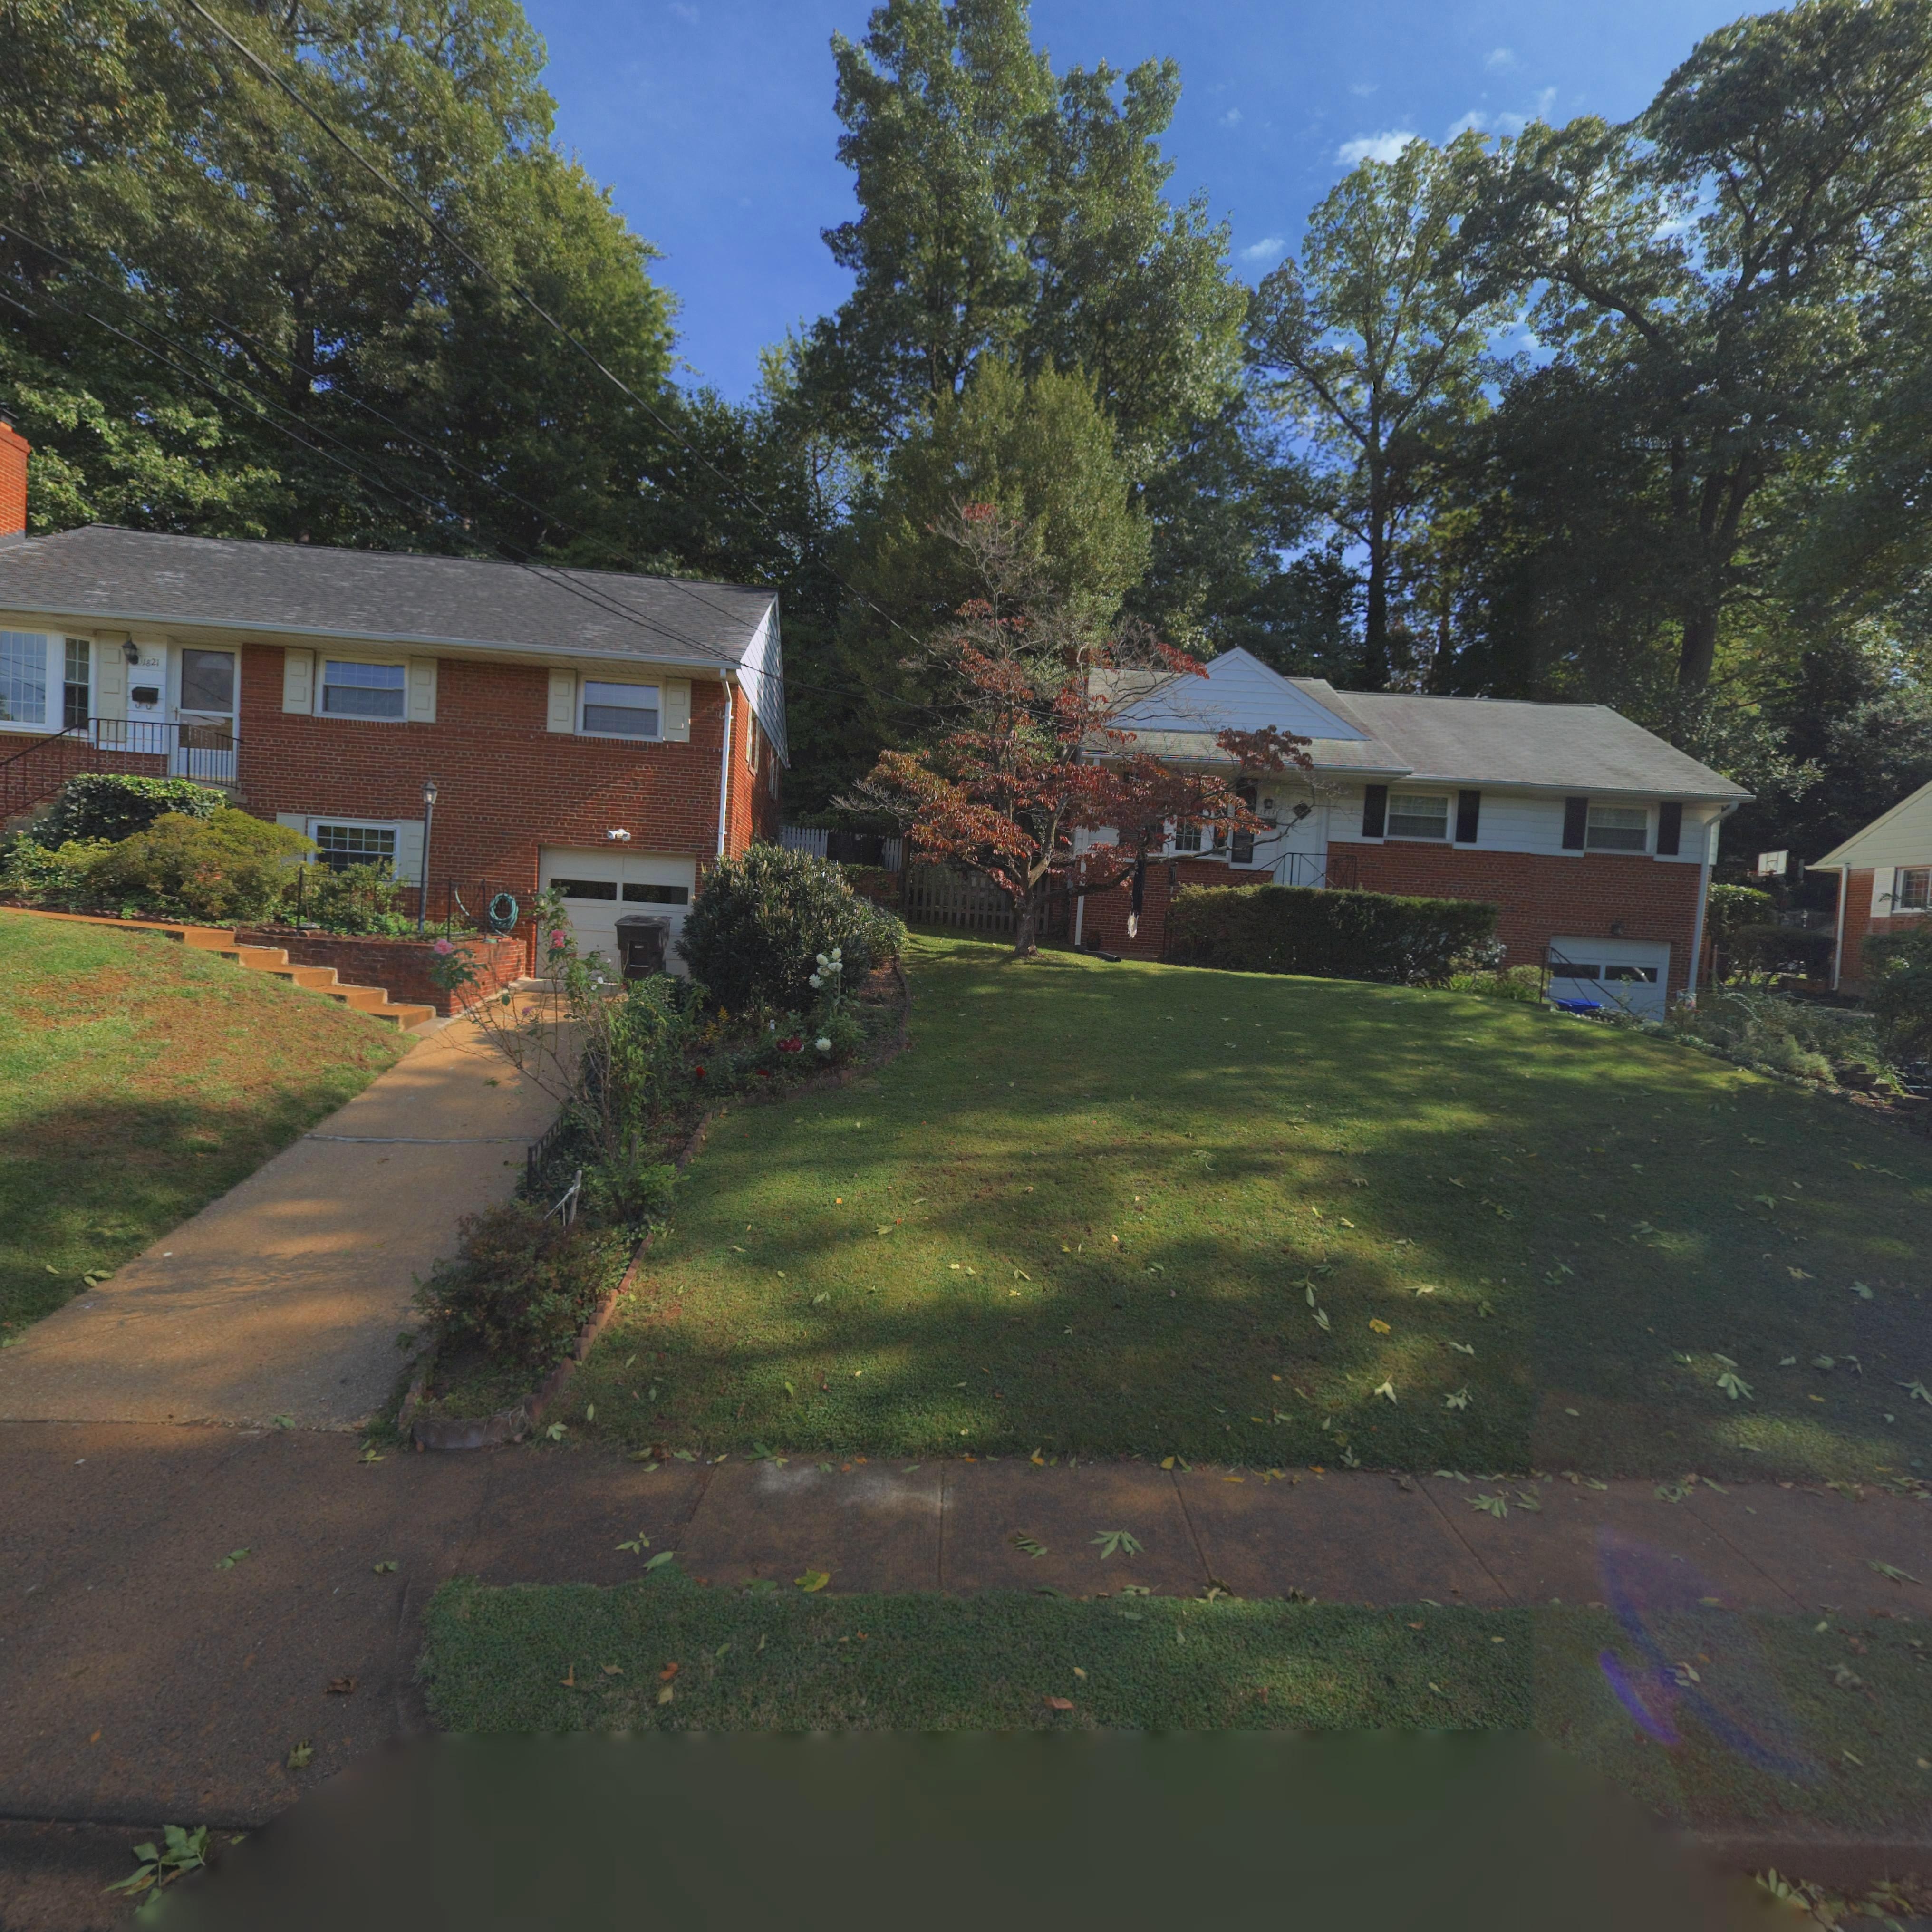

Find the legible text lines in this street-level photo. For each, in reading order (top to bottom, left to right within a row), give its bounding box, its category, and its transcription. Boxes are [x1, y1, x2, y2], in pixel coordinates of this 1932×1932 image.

[142, 658, 160, 667] StreetNumber: 1821
[1260, 809, 1275, 815] StreetNumber: 1817